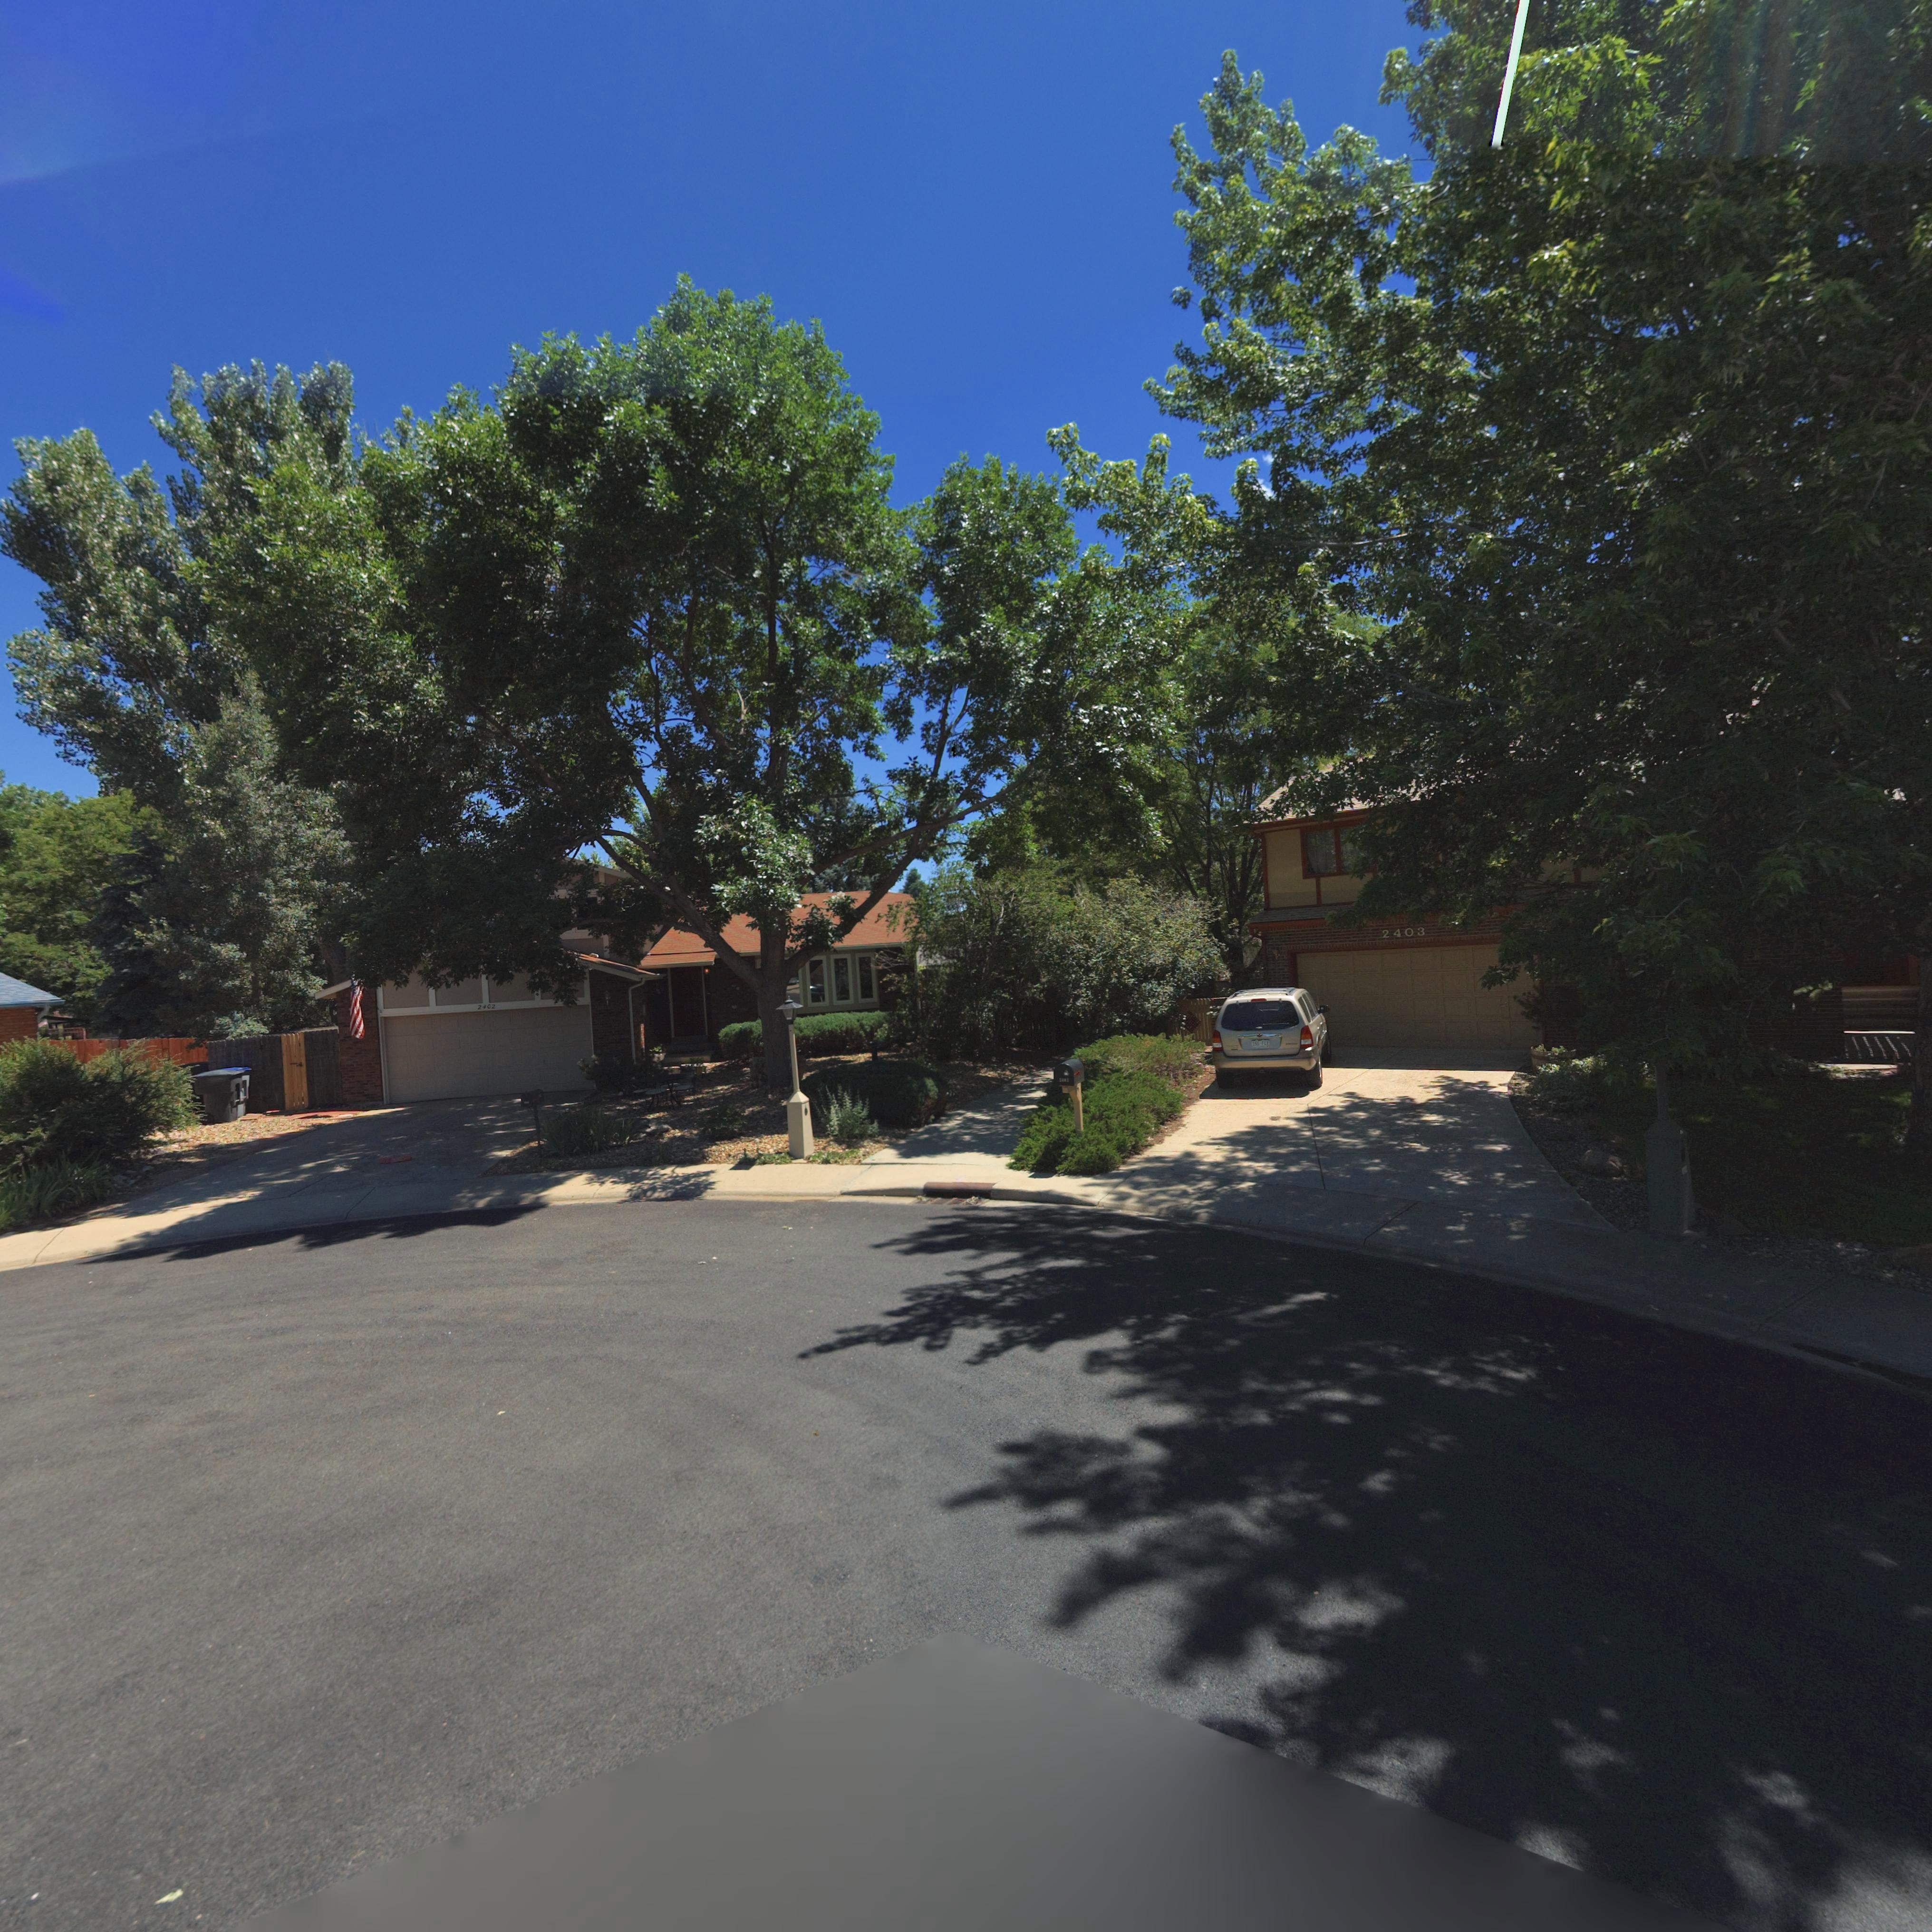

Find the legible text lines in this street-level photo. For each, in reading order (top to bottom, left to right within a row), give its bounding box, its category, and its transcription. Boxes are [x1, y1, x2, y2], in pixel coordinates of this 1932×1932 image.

[1382, 927, 1425, 938] StreetNumber: 2403
[477, 1003, 495, 1010] StreetNumber: 2402
[1059, 1077, 1069, 1082] StreetNumber: 2***